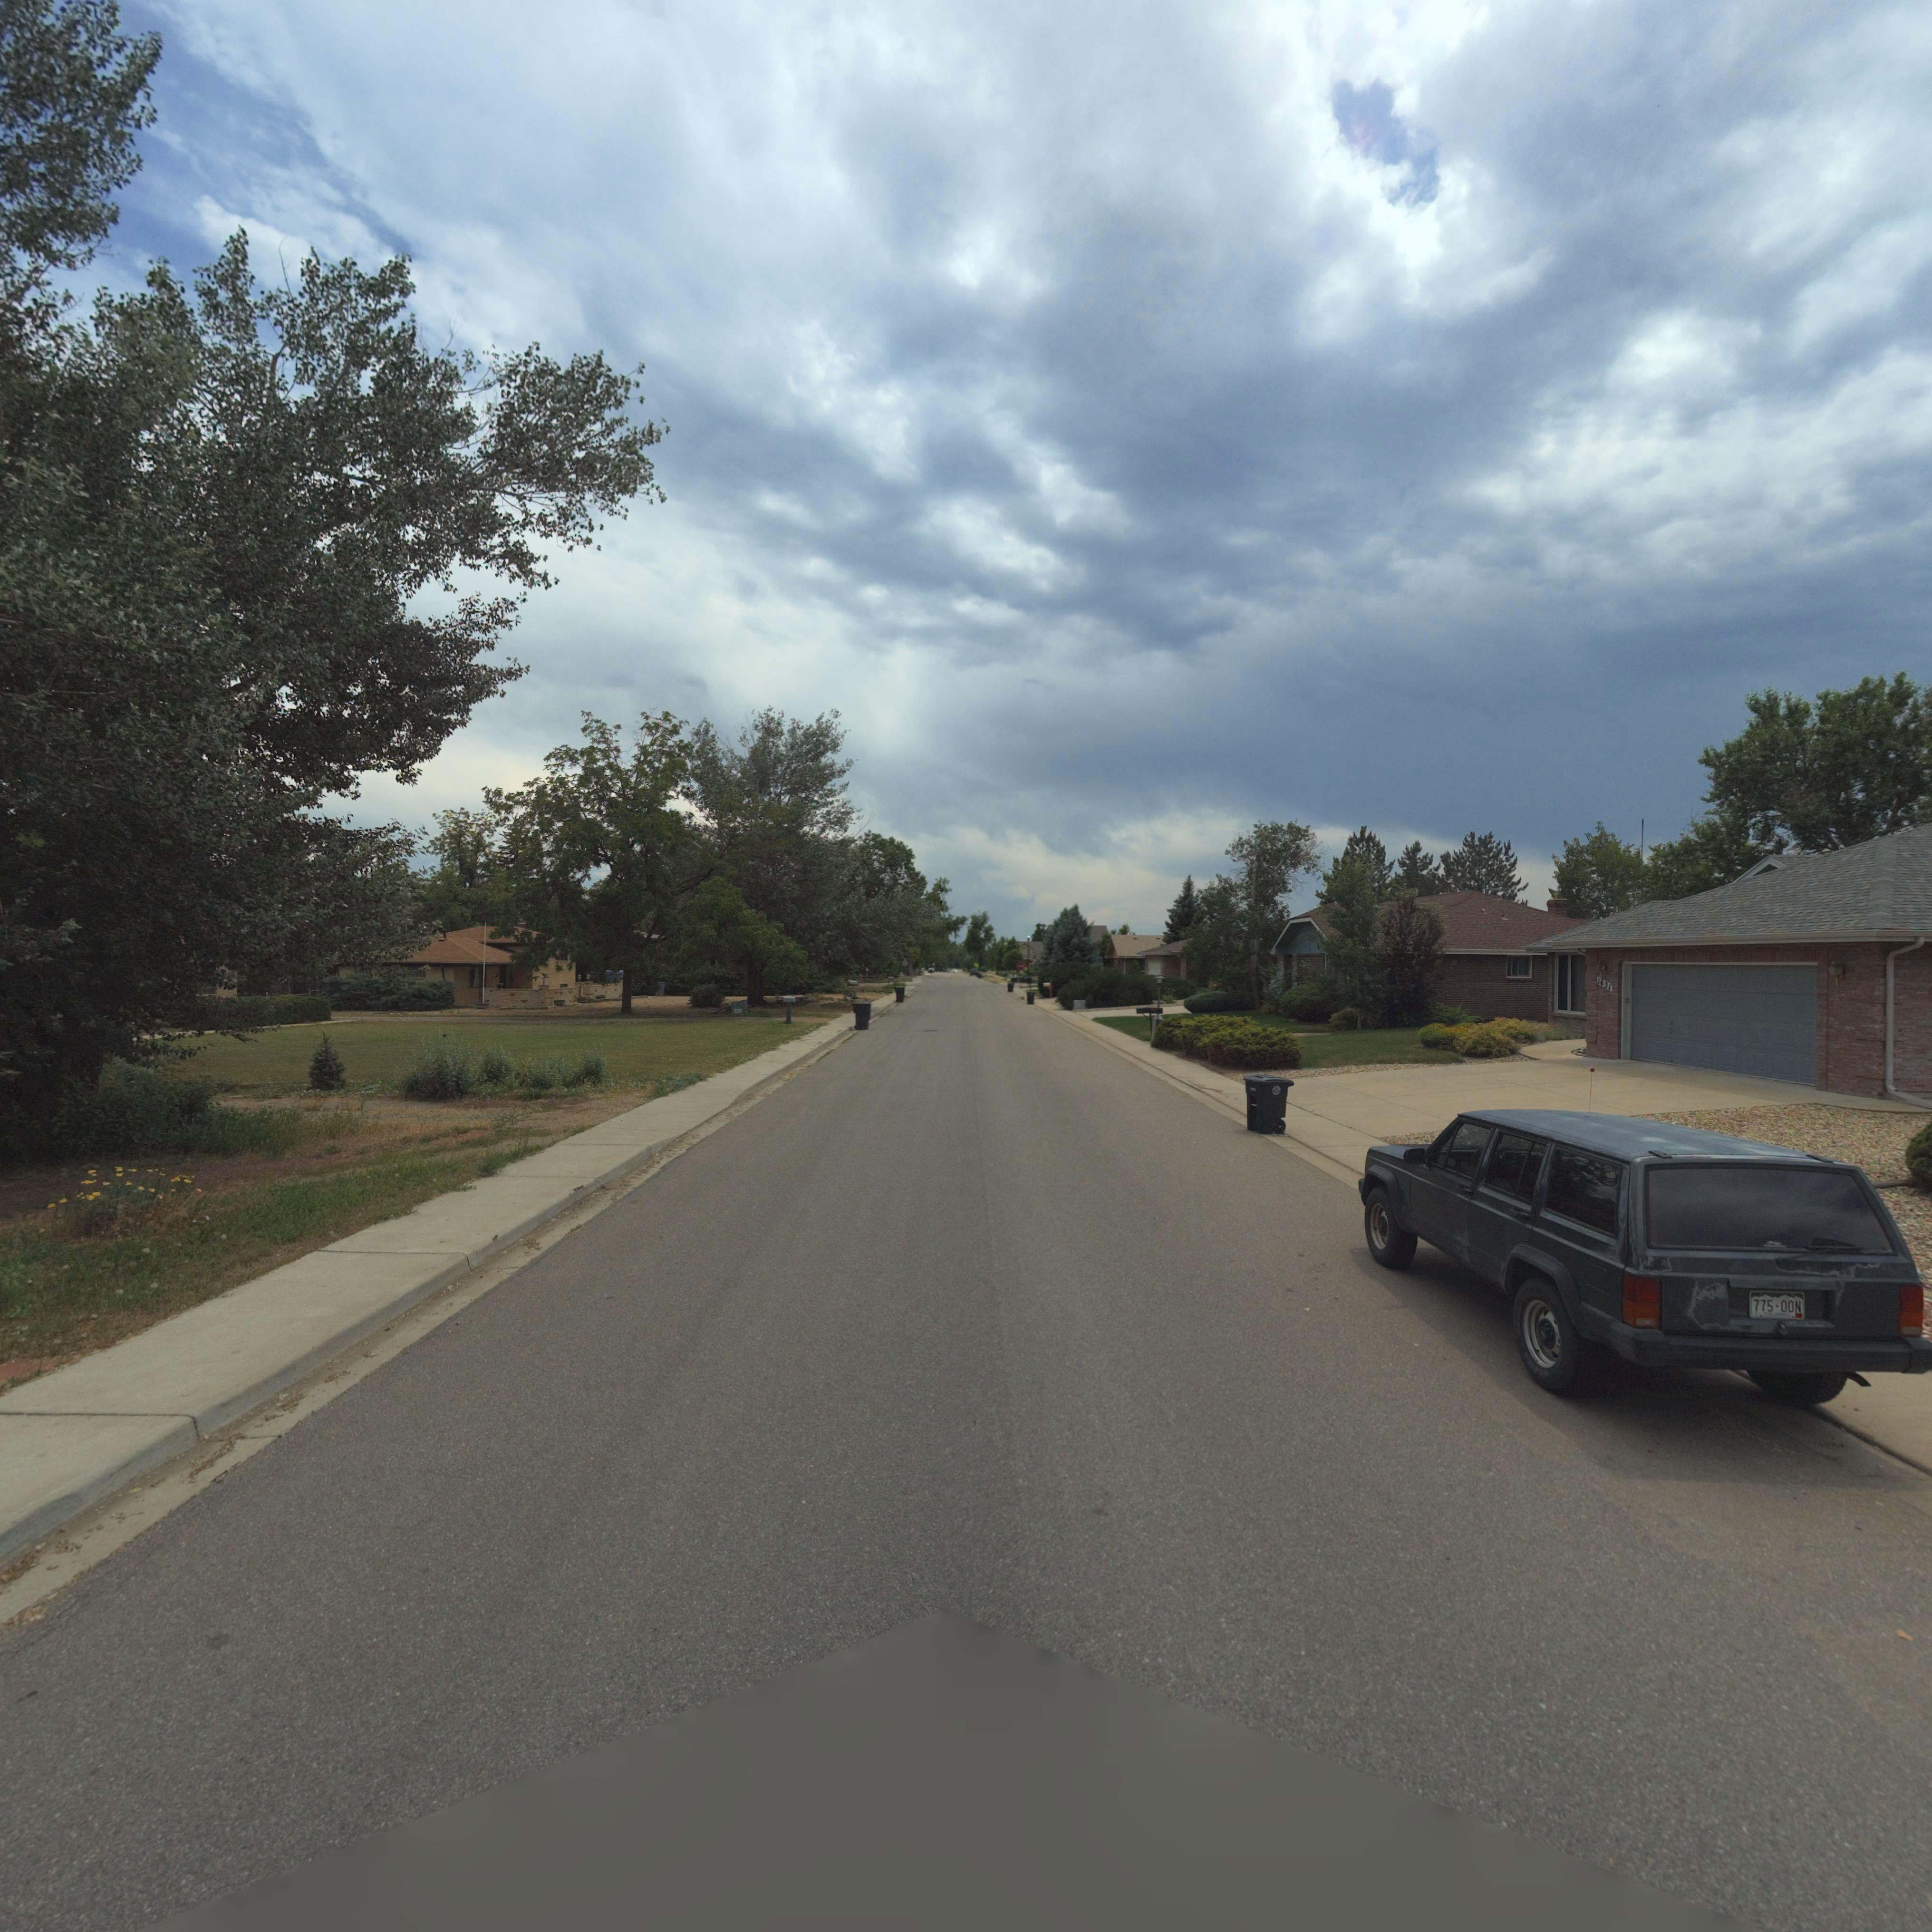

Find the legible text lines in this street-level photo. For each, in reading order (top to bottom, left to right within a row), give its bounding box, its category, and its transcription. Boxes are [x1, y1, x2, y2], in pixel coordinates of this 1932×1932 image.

[1597, 977, 1612, 990] StreetNumber: 1631